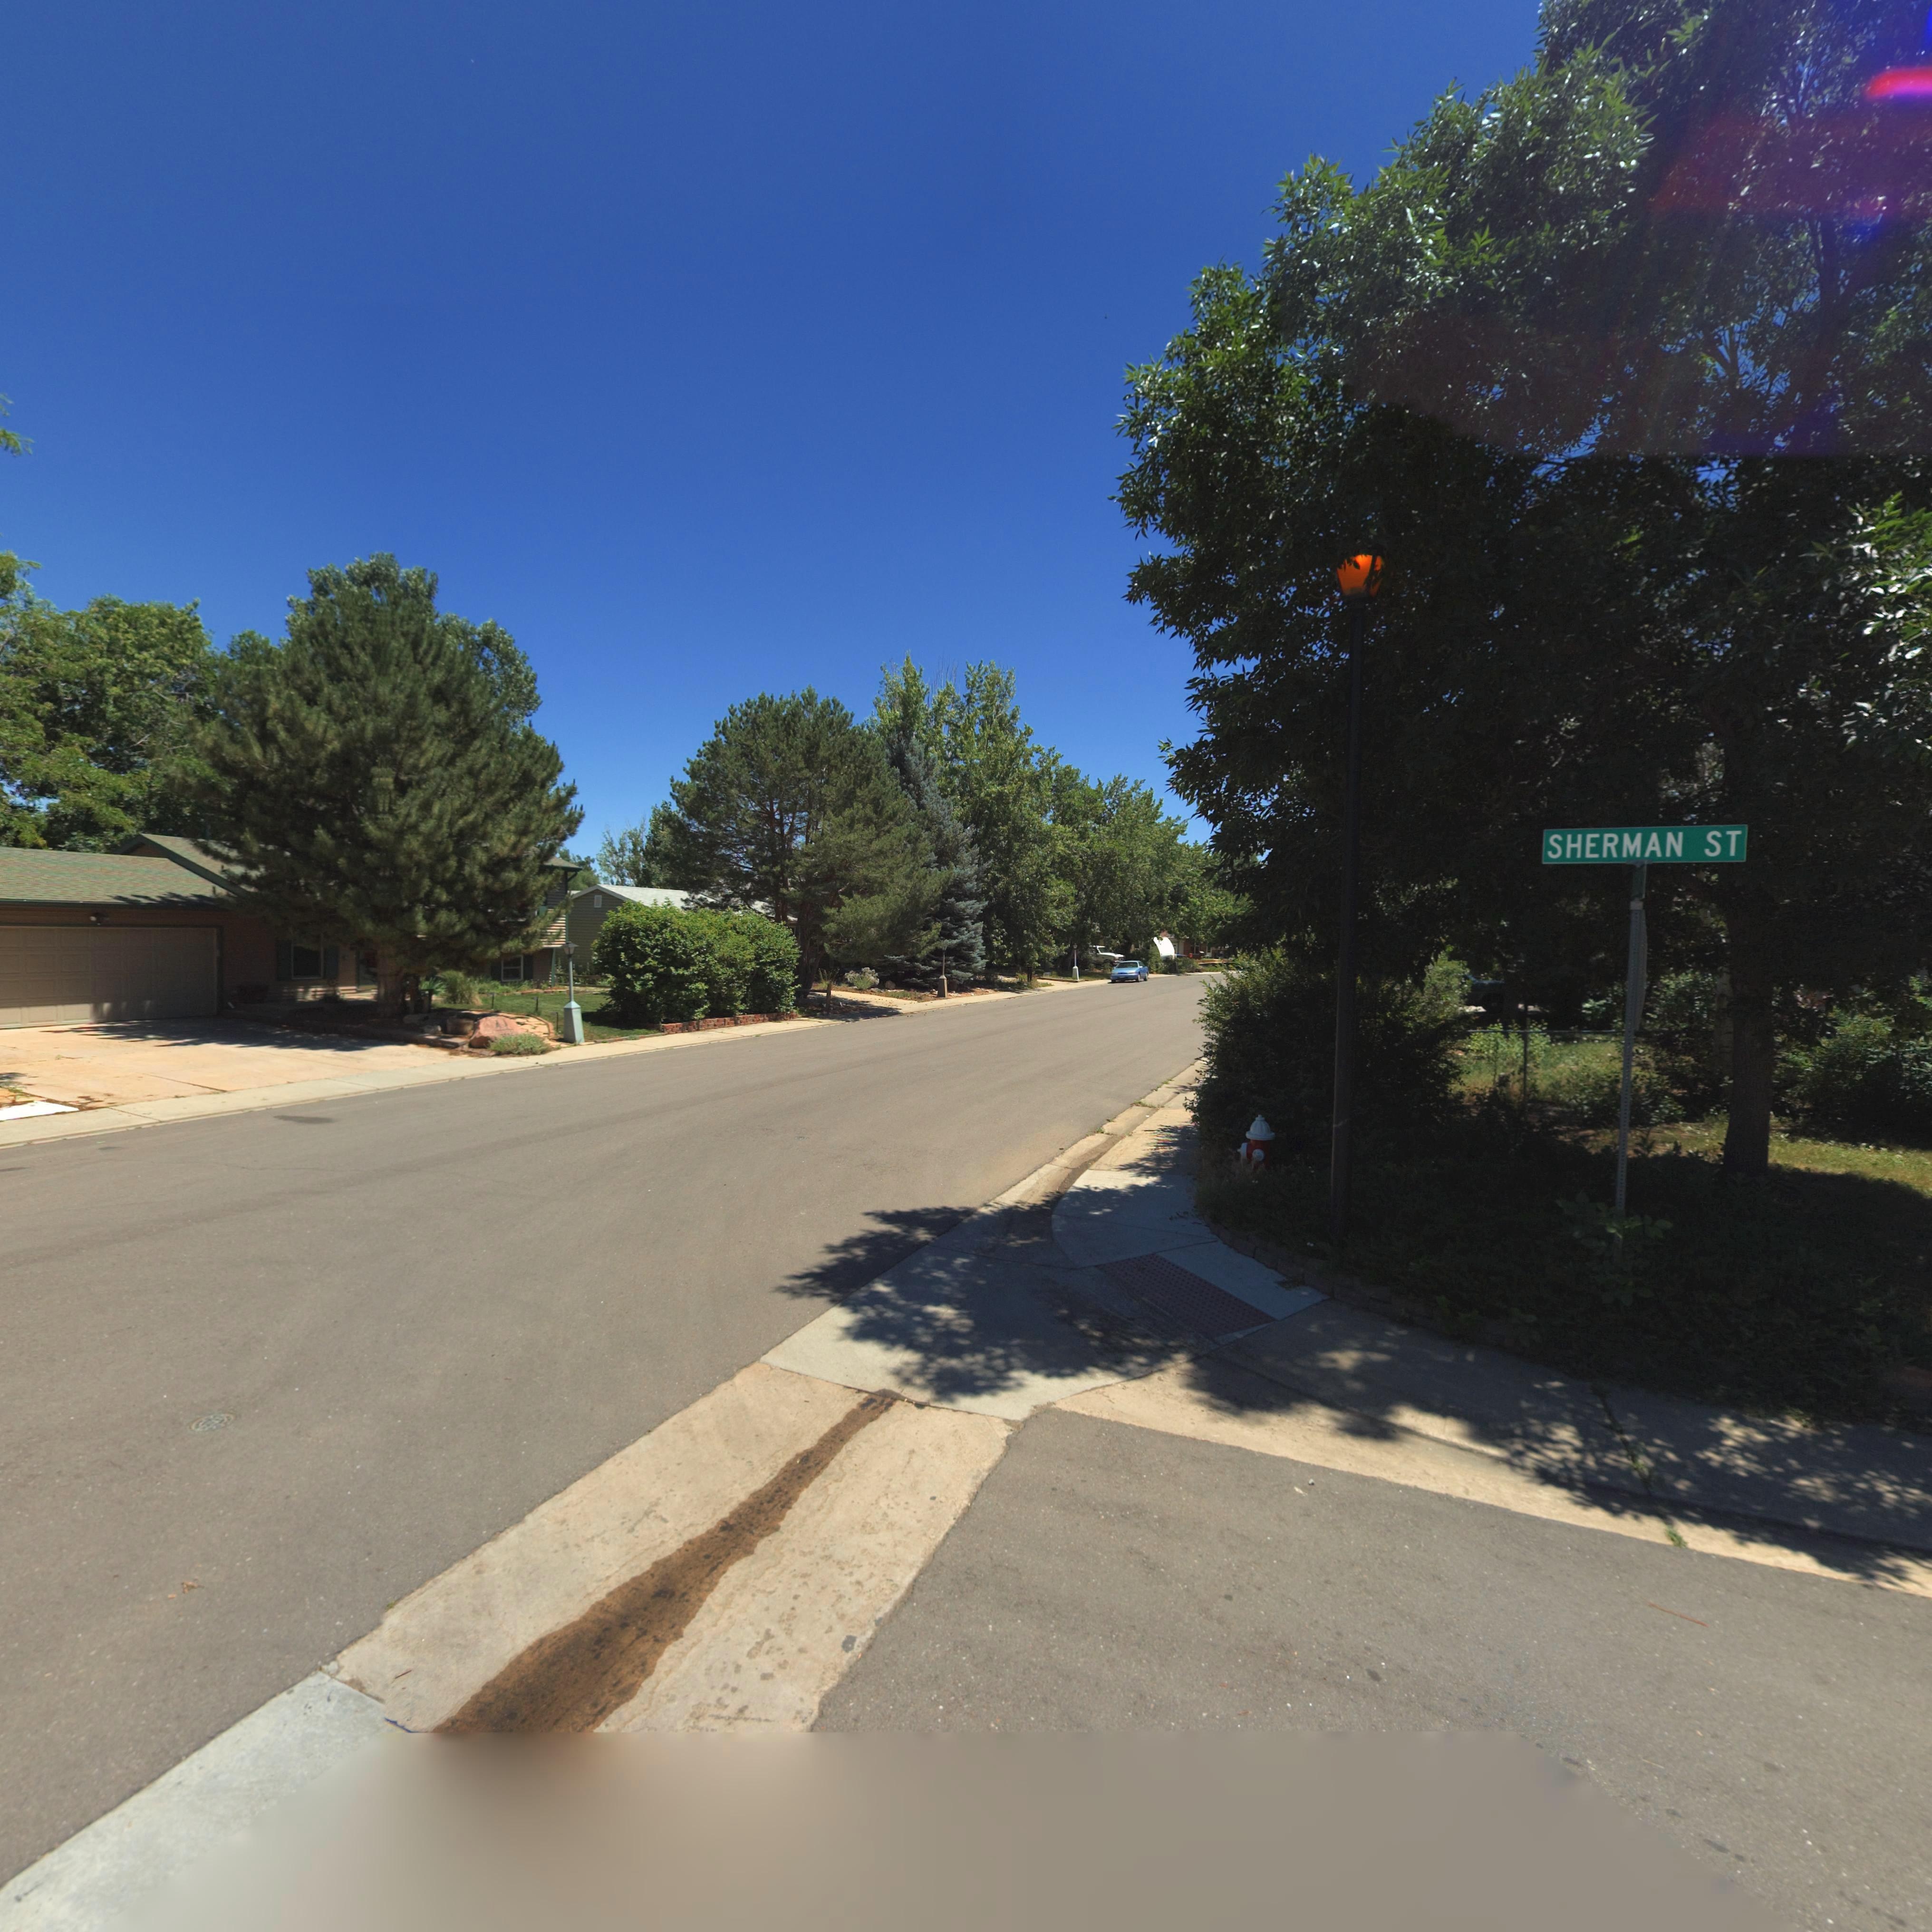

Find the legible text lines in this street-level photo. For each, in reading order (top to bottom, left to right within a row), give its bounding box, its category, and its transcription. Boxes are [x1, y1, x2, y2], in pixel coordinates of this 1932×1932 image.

[1546, 830, 1743, 858] StreetName: SHERMAN ST